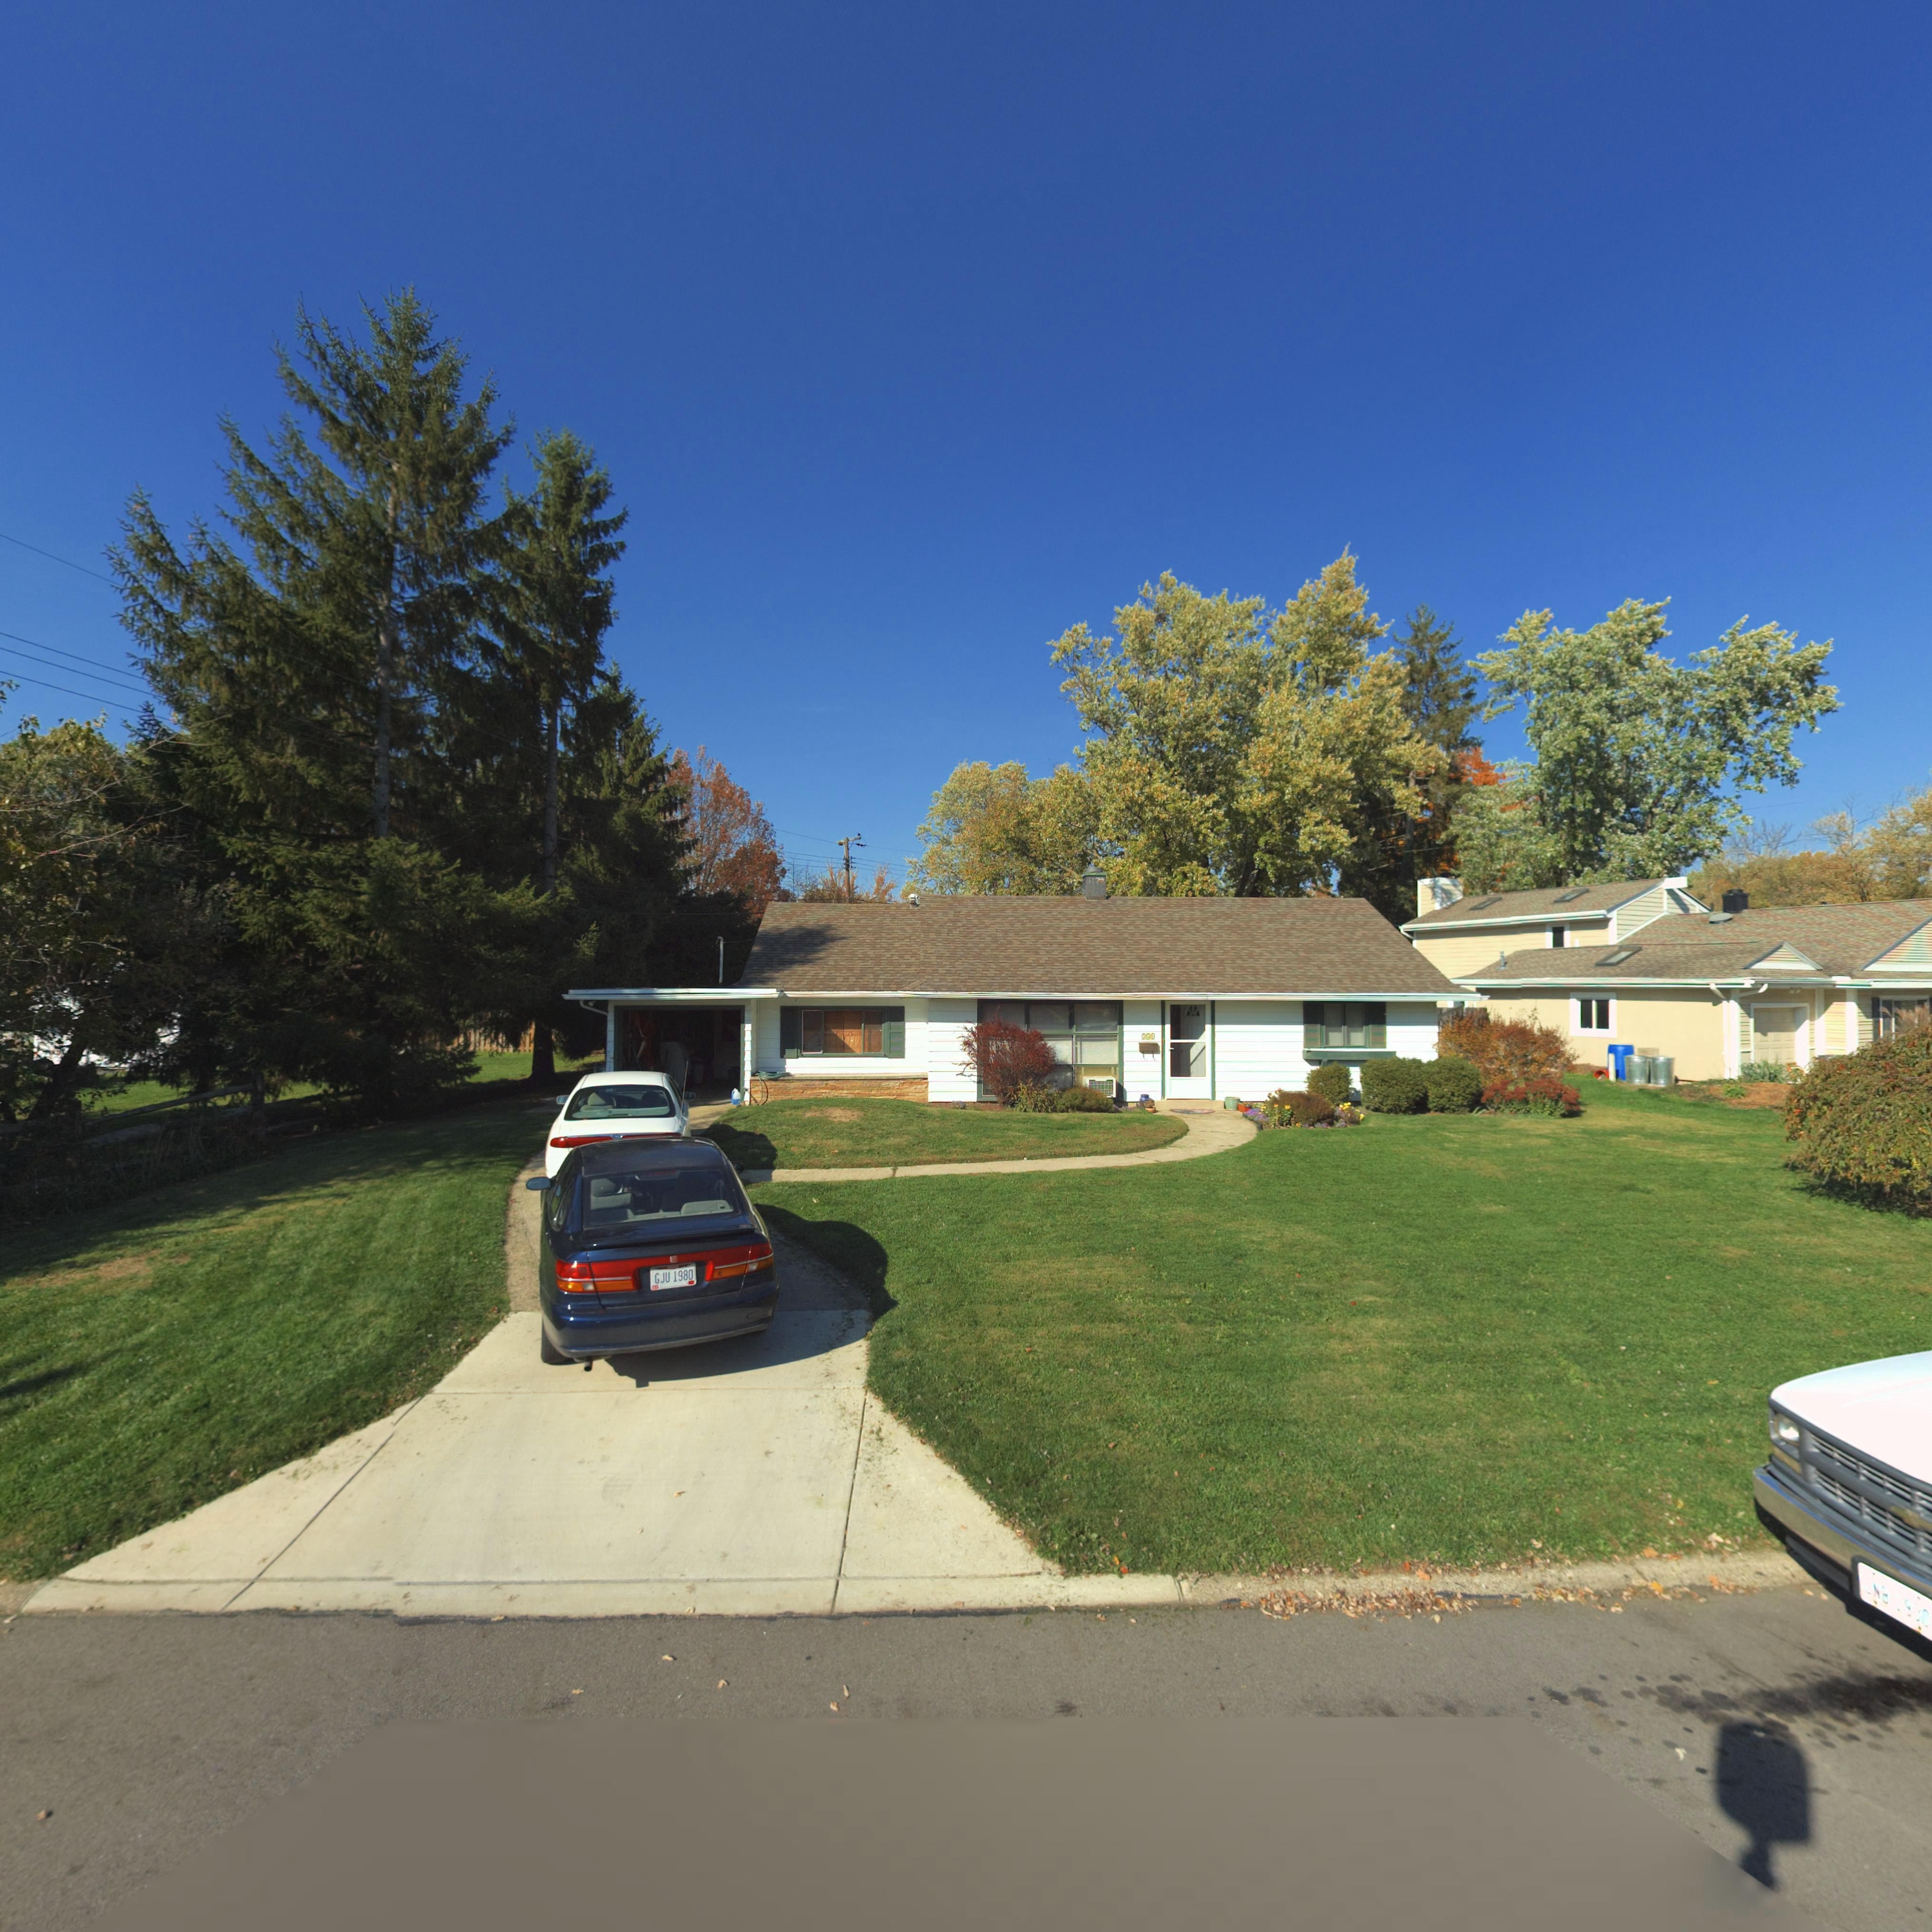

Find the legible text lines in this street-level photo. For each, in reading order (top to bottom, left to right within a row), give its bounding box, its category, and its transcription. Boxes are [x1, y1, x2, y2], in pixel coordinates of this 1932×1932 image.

[654, 1267, 694, 1285] None: GJU 1980